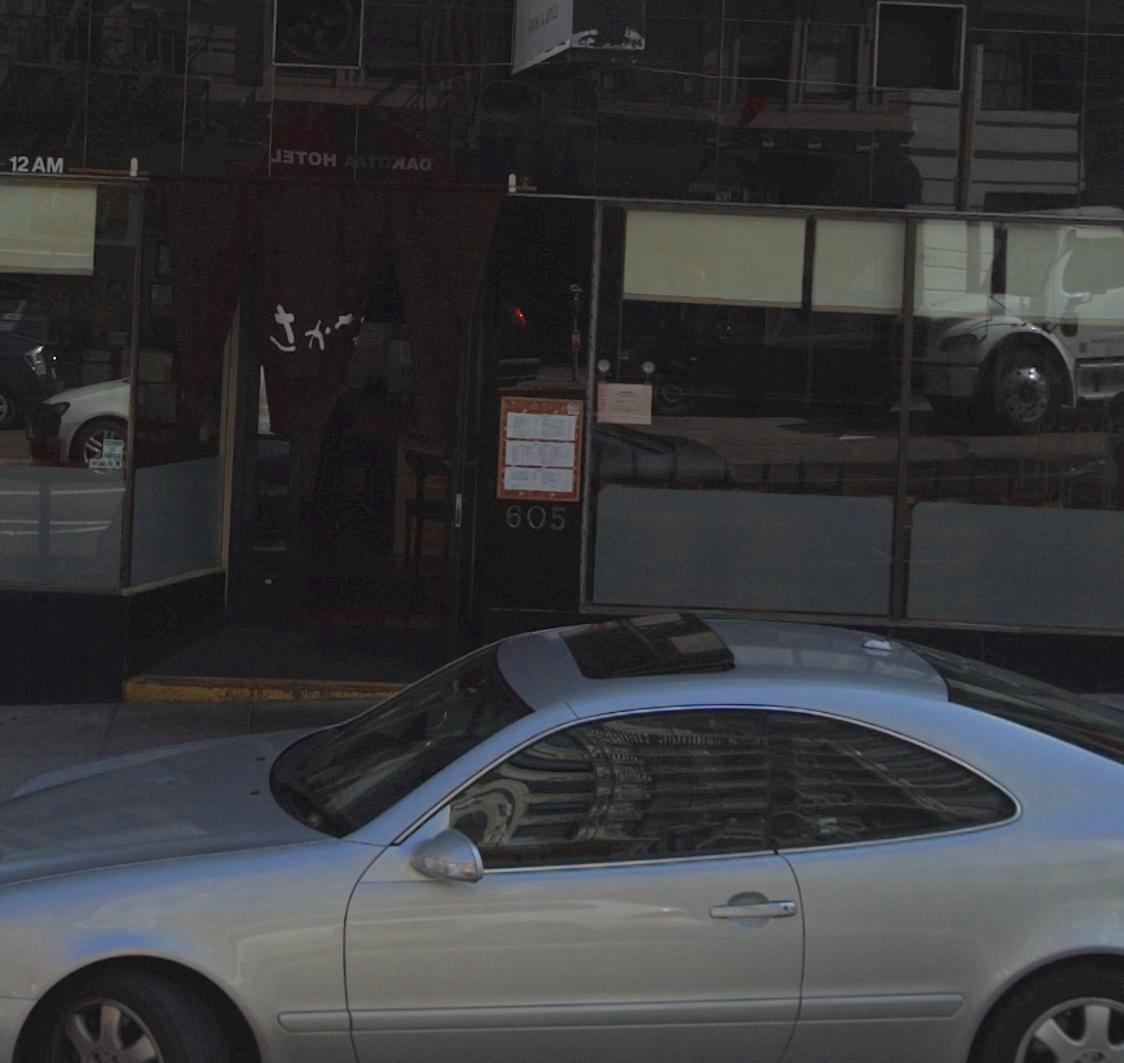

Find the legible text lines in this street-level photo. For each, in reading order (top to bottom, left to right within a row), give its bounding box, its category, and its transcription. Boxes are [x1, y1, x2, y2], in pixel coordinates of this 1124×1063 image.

[8, 154, 66, 176] None: 12 AM
[505, 503, 567, 532] StreetNumber: 605